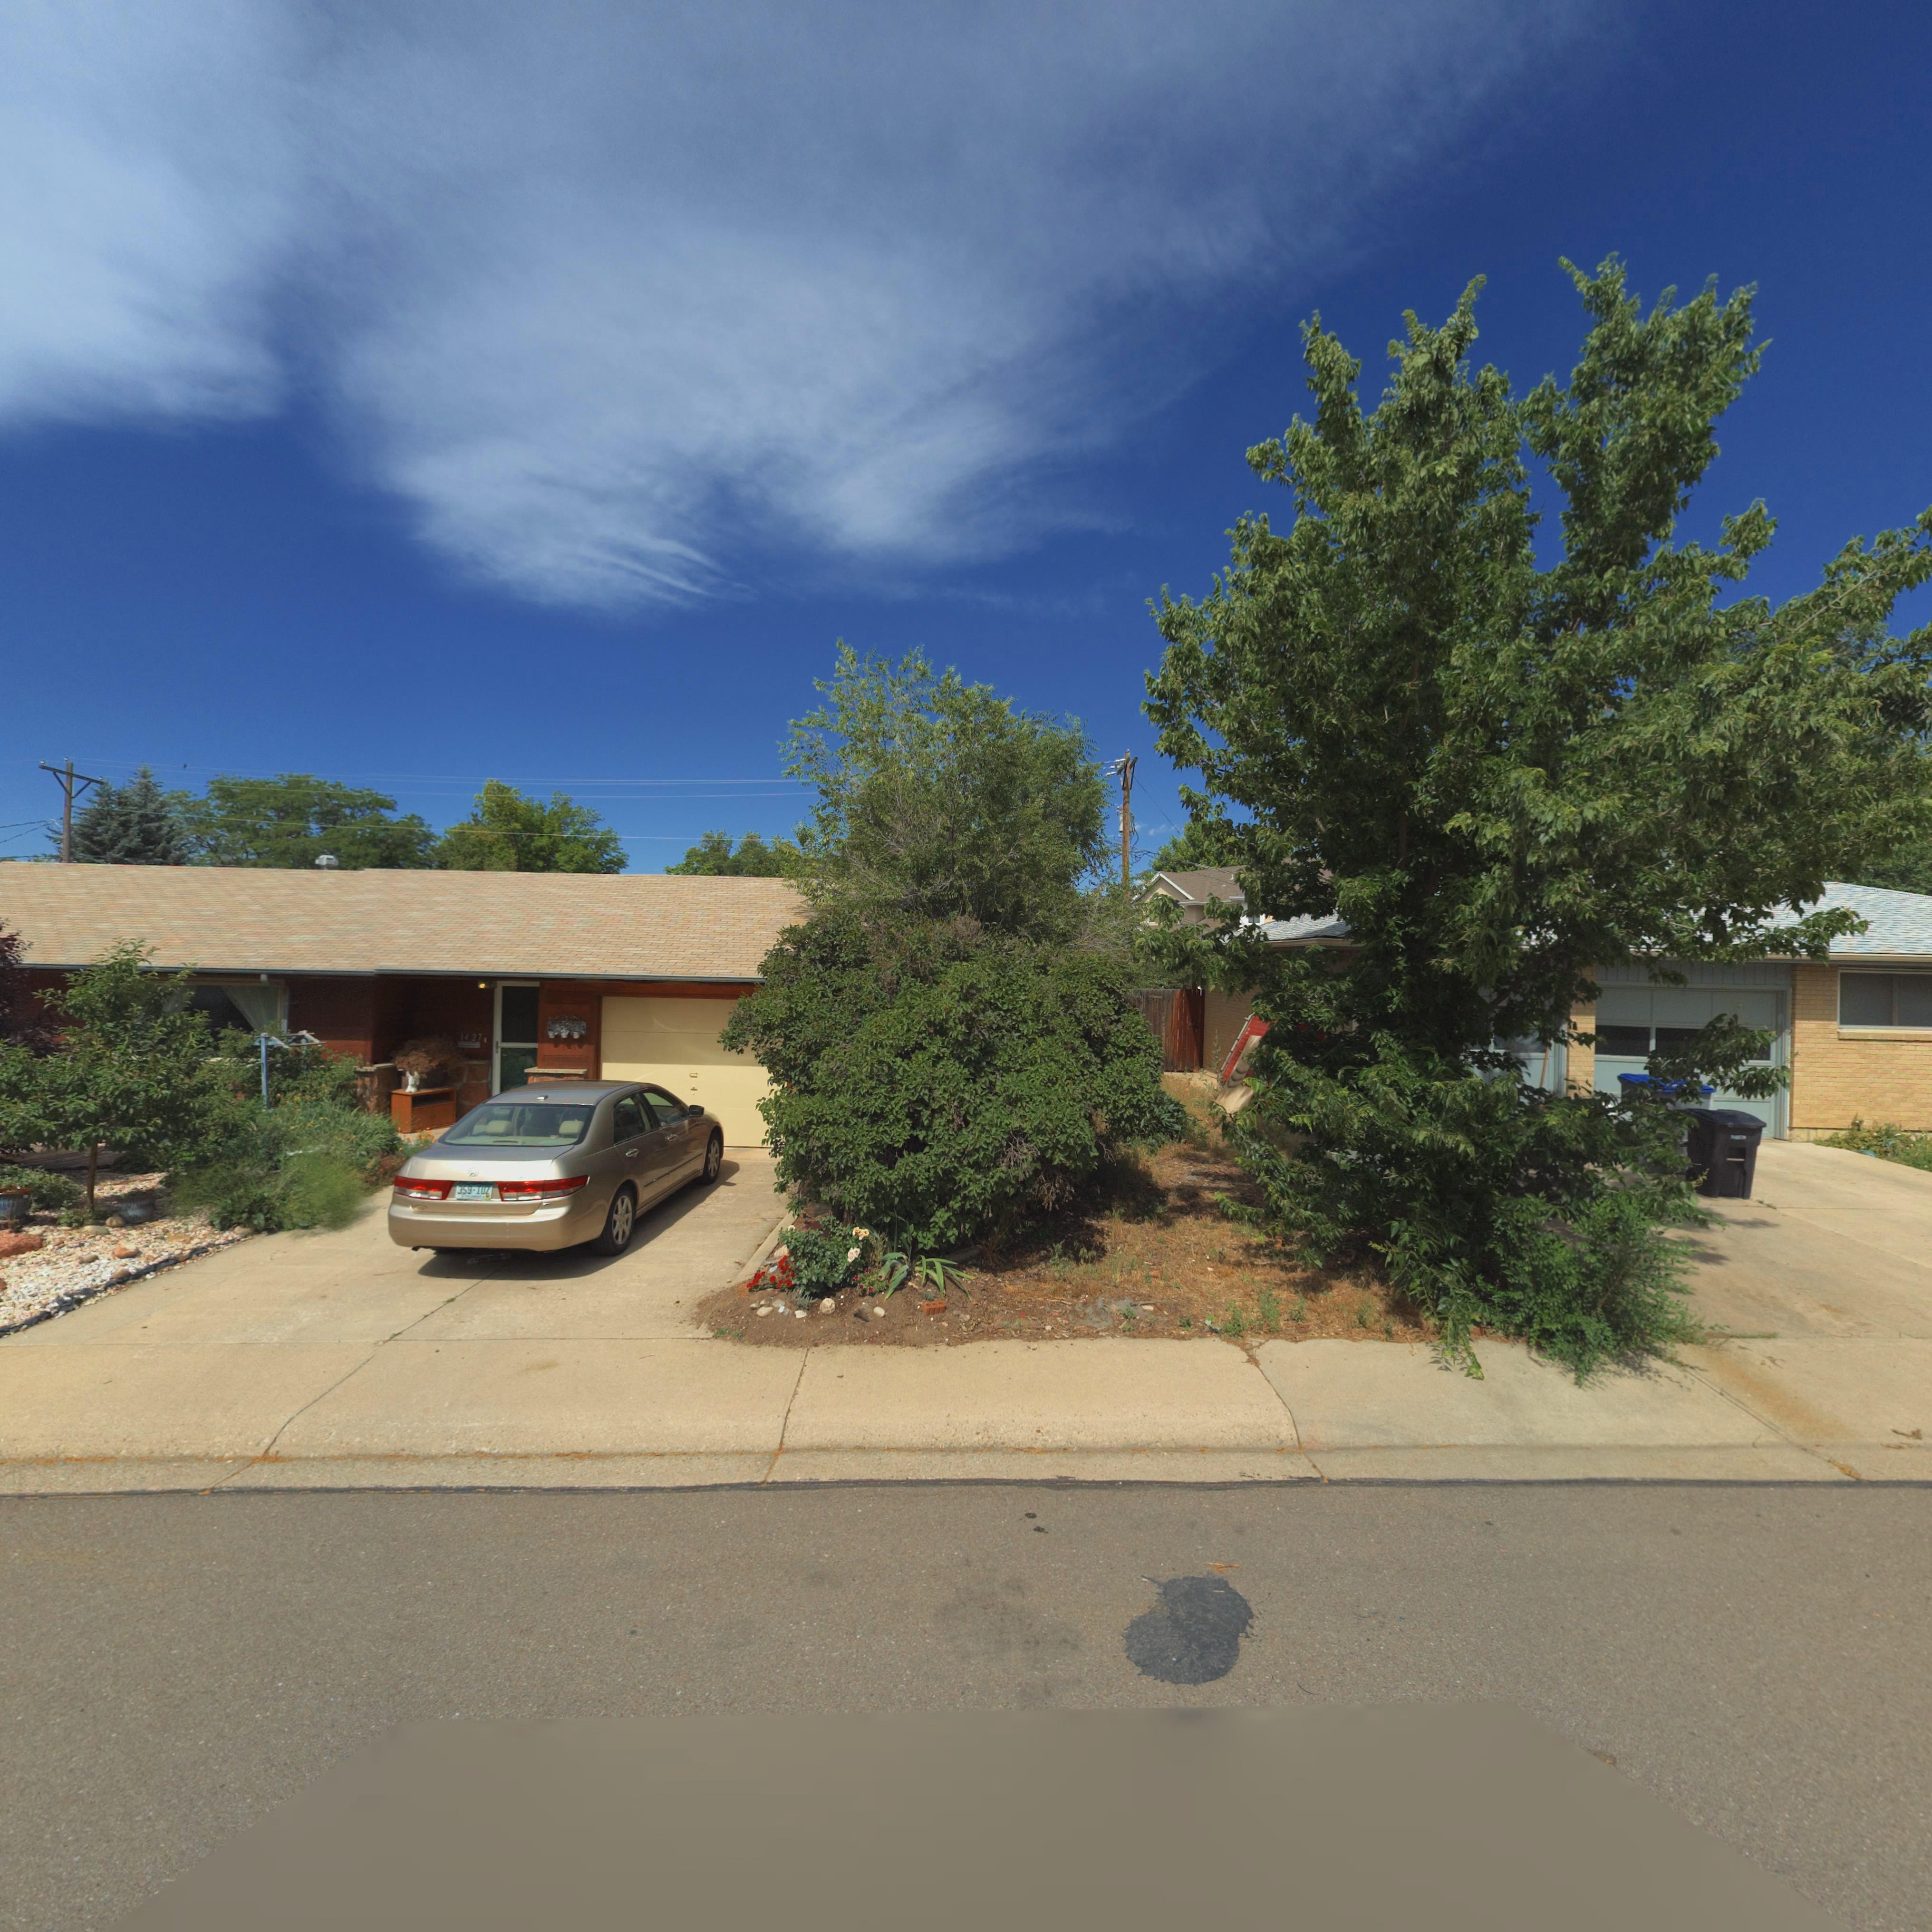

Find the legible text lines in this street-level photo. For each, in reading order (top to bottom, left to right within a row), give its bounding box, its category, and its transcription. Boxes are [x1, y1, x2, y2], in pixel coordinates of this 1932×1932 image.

[460, 1033, 483, 1042] StreetNumber: 1427